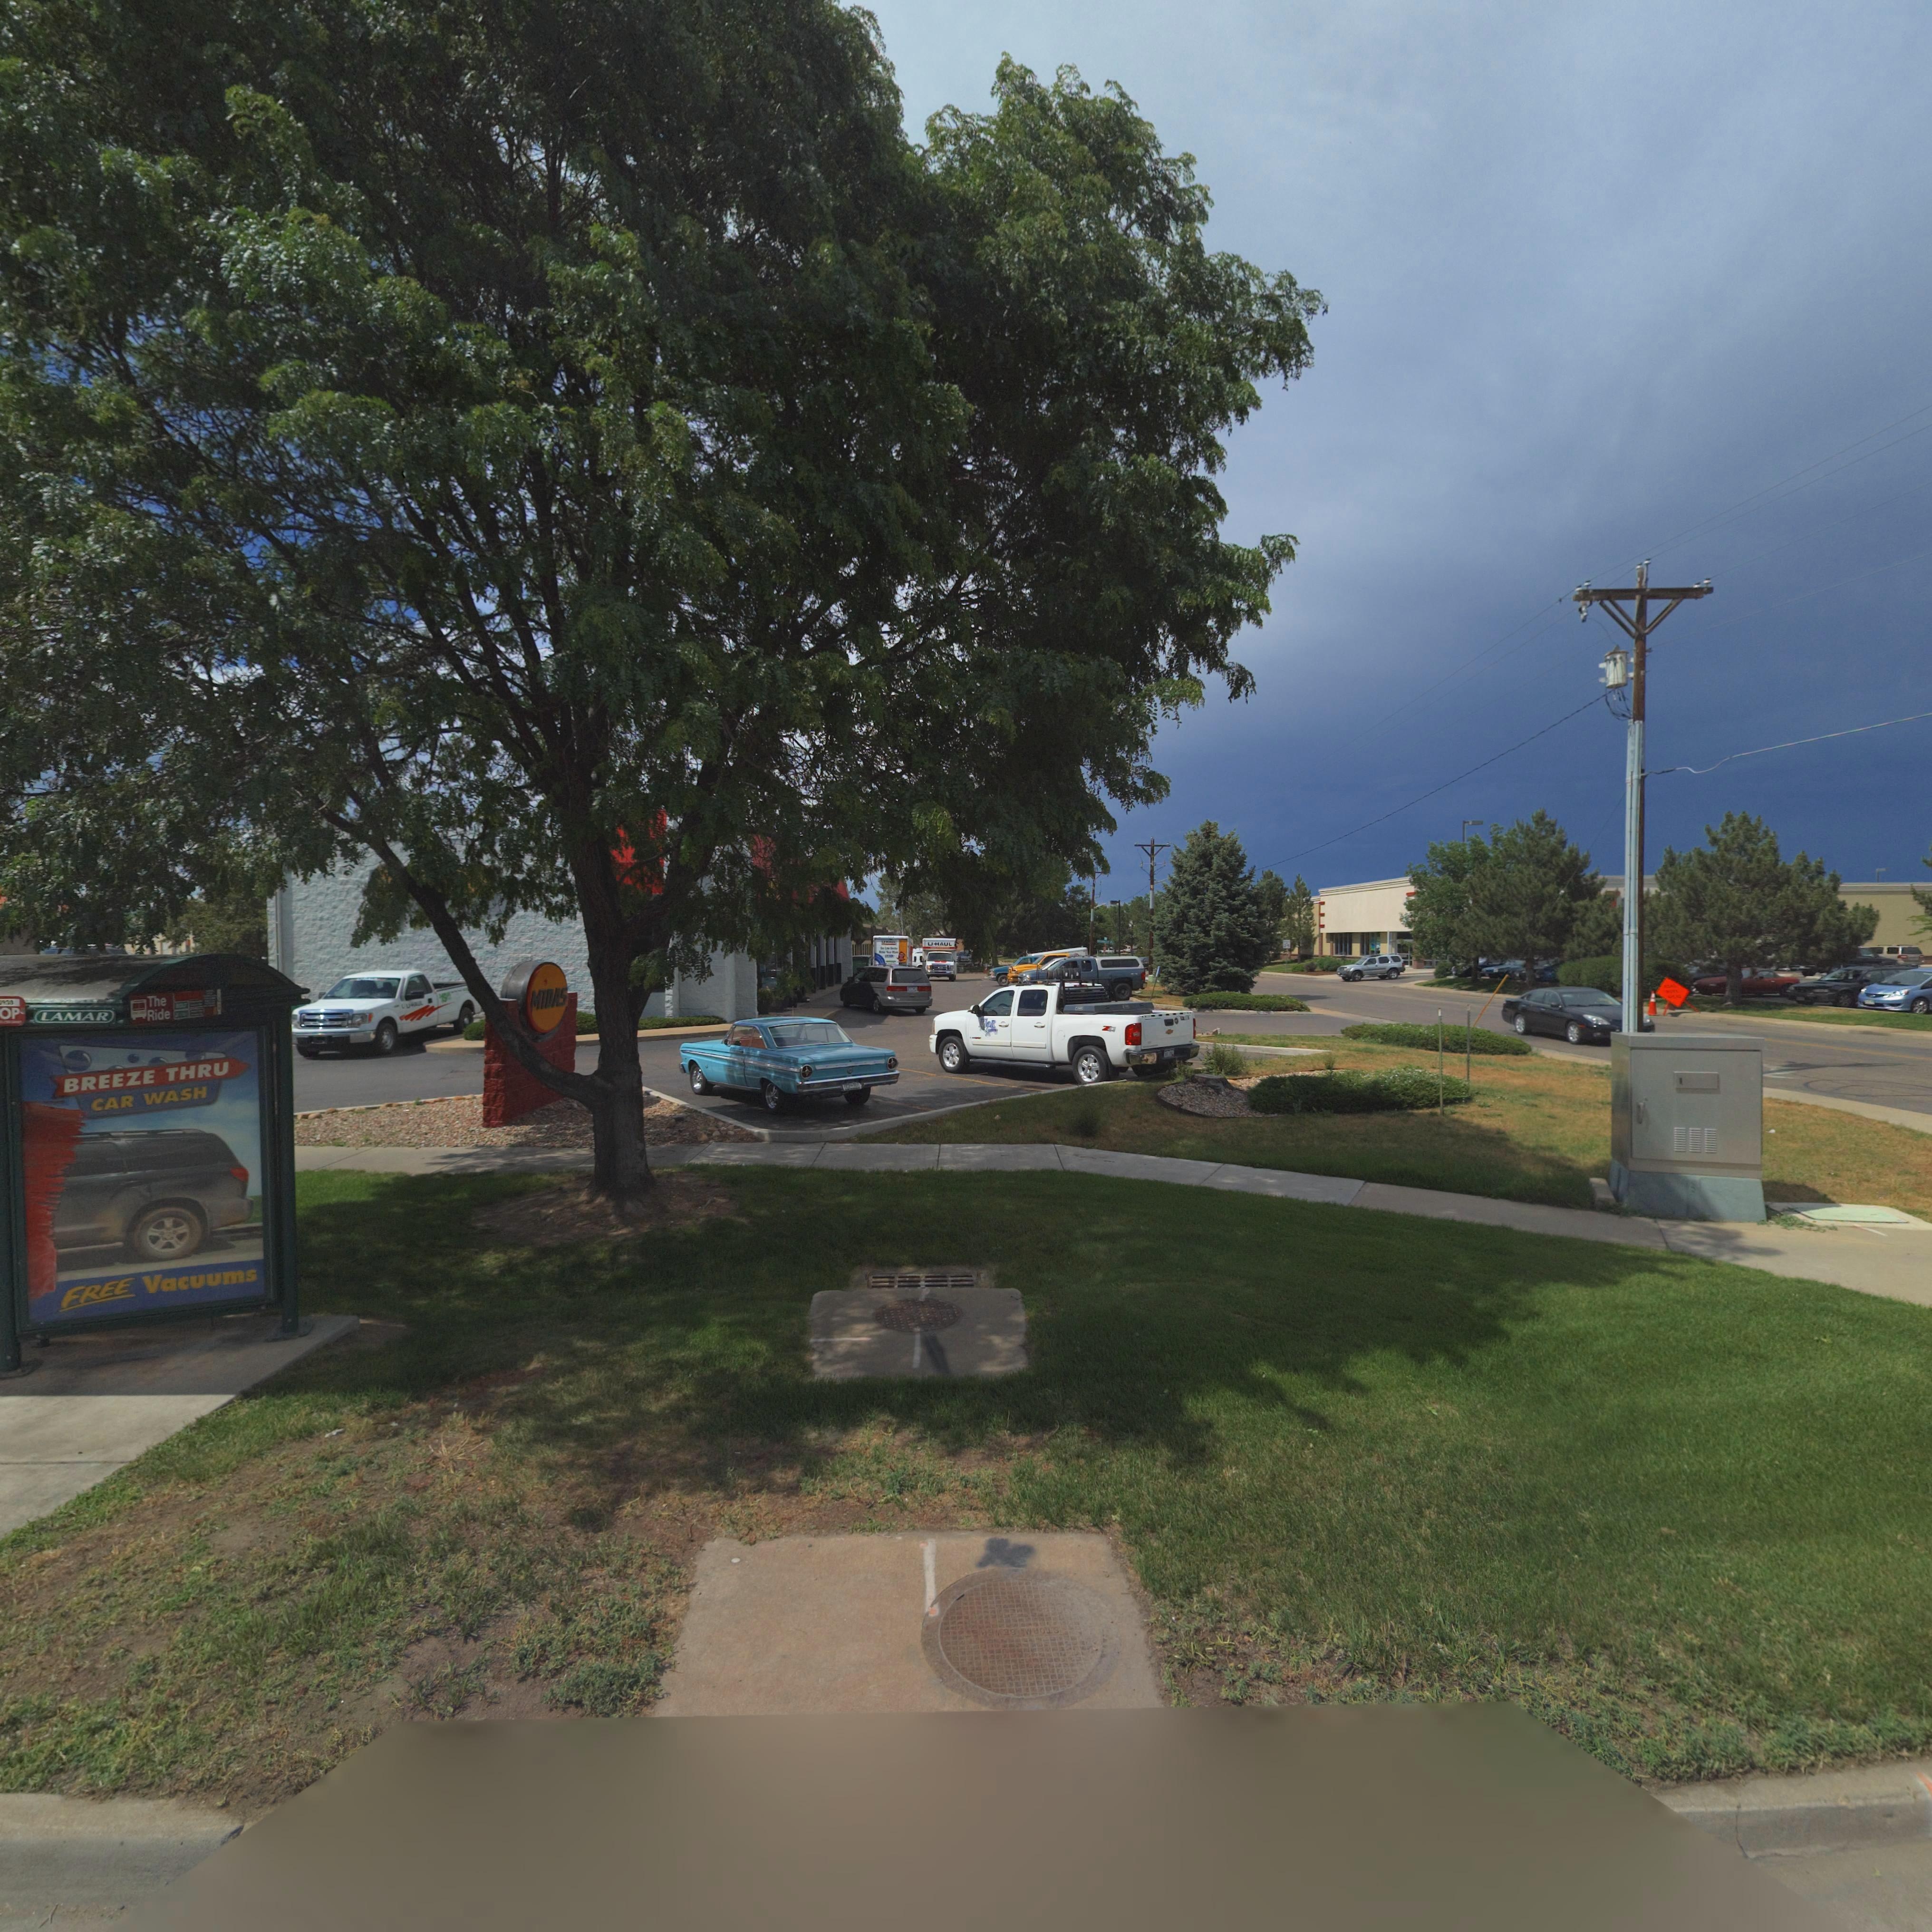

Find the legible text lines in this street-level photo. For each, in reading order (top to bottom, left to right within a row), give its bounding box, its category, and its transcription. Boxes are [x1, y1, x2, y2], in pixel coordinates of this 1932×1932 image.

[530, 978, 568, 1012] BusinessName: MiDAS